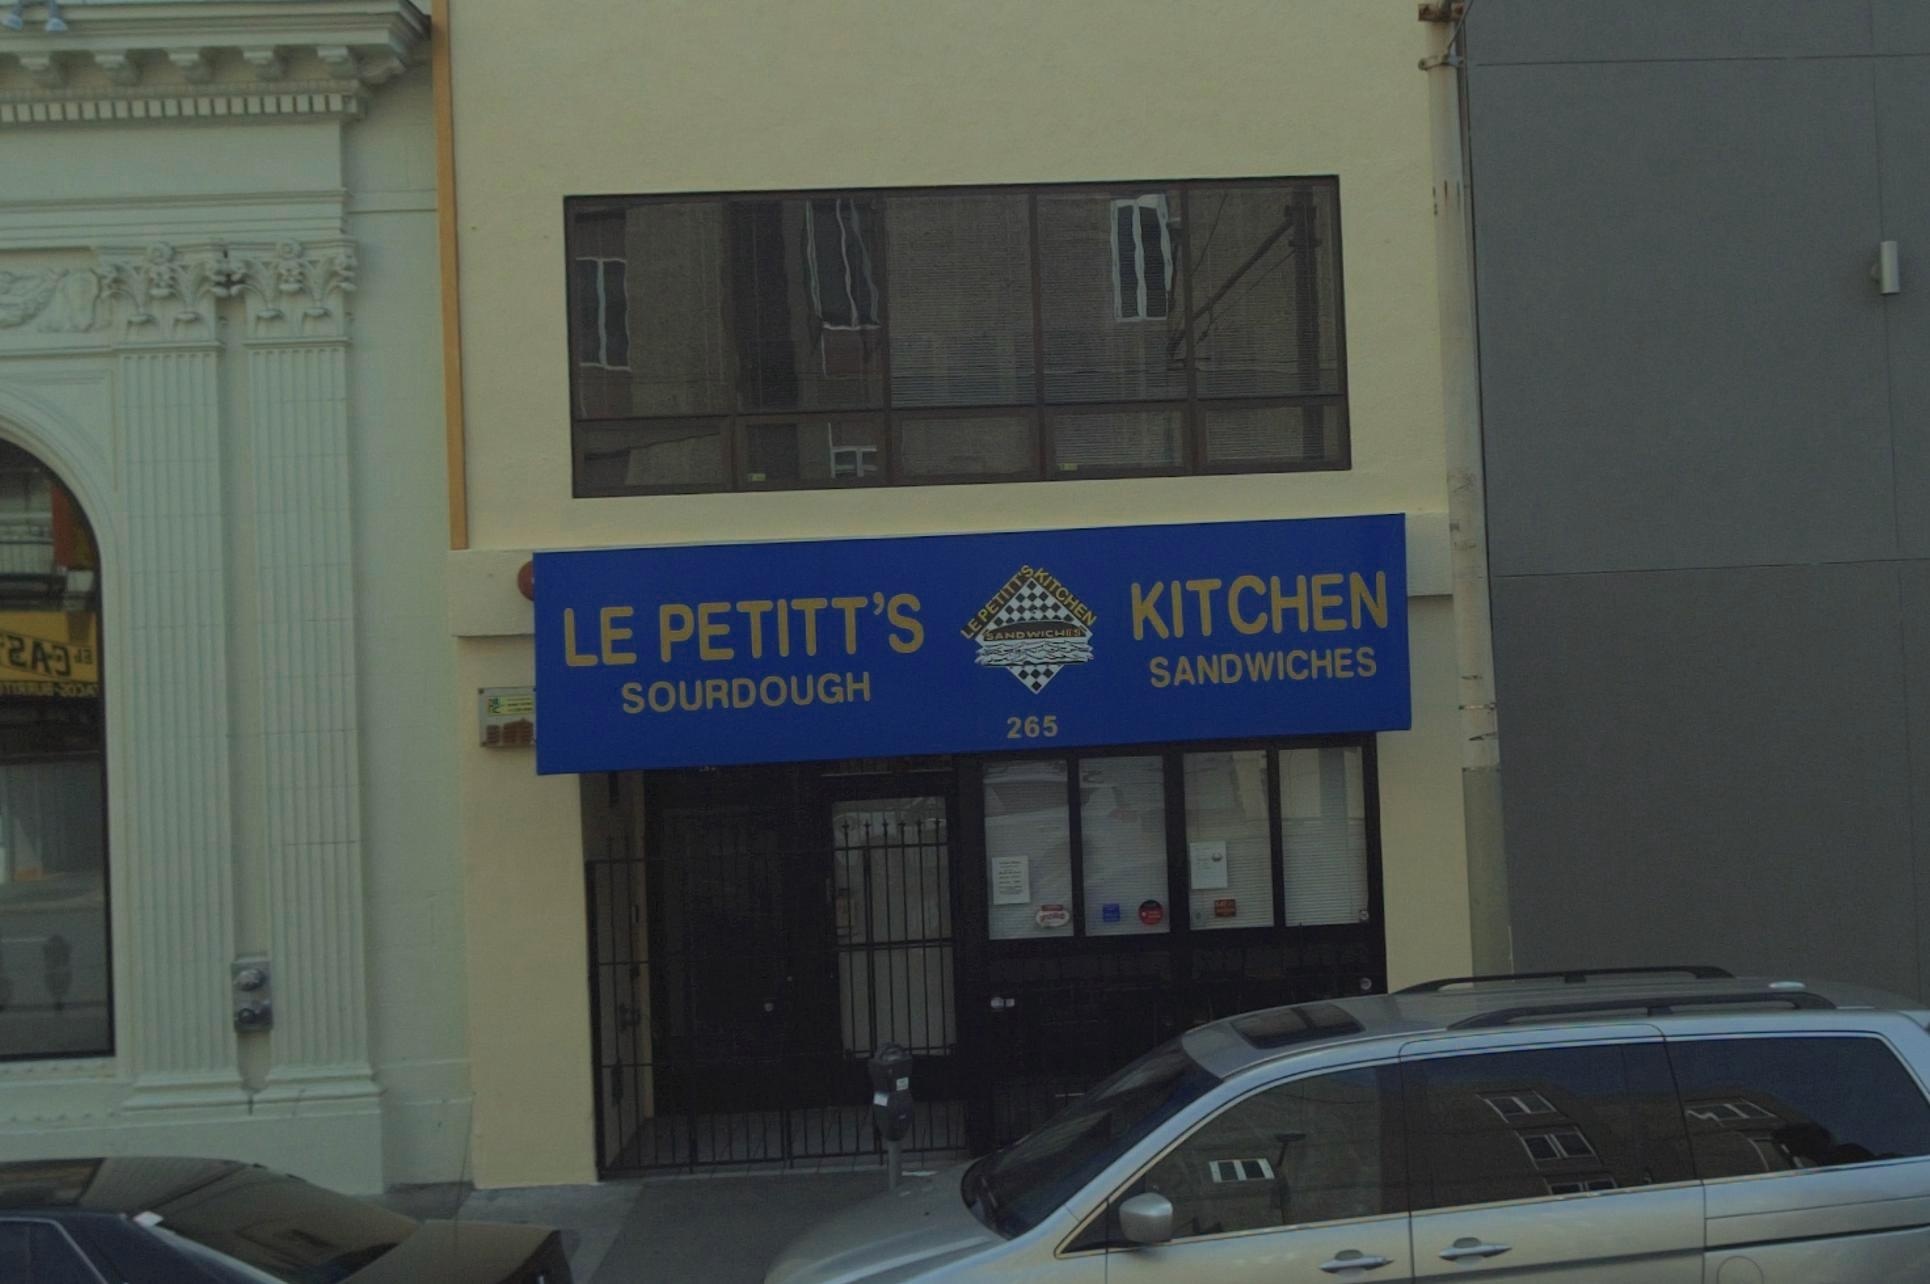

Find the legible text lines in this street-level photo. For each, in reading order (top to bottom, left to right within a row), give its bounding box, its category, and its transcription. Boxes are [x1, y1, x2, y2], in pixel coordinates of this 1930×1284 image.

[5, 631, 97, 683] None: *A***
[562, 589, 927, 670] BusinessName: LE PETITT'S
[620, 668, 874, 717] None: SOURDOUGH
[958, 563, 1101, 641] BusinessName: LEPETITT'S KITCHEN
[983, 627, 1082, 642] None: SANDWICHERS
[1128, 566, 1392, 643] BusinessName: KITCHEN
[1147, 643, 1380, 690] None: SANDWICHES
[1004, 712, 1060, 742] StreetNumber: 265